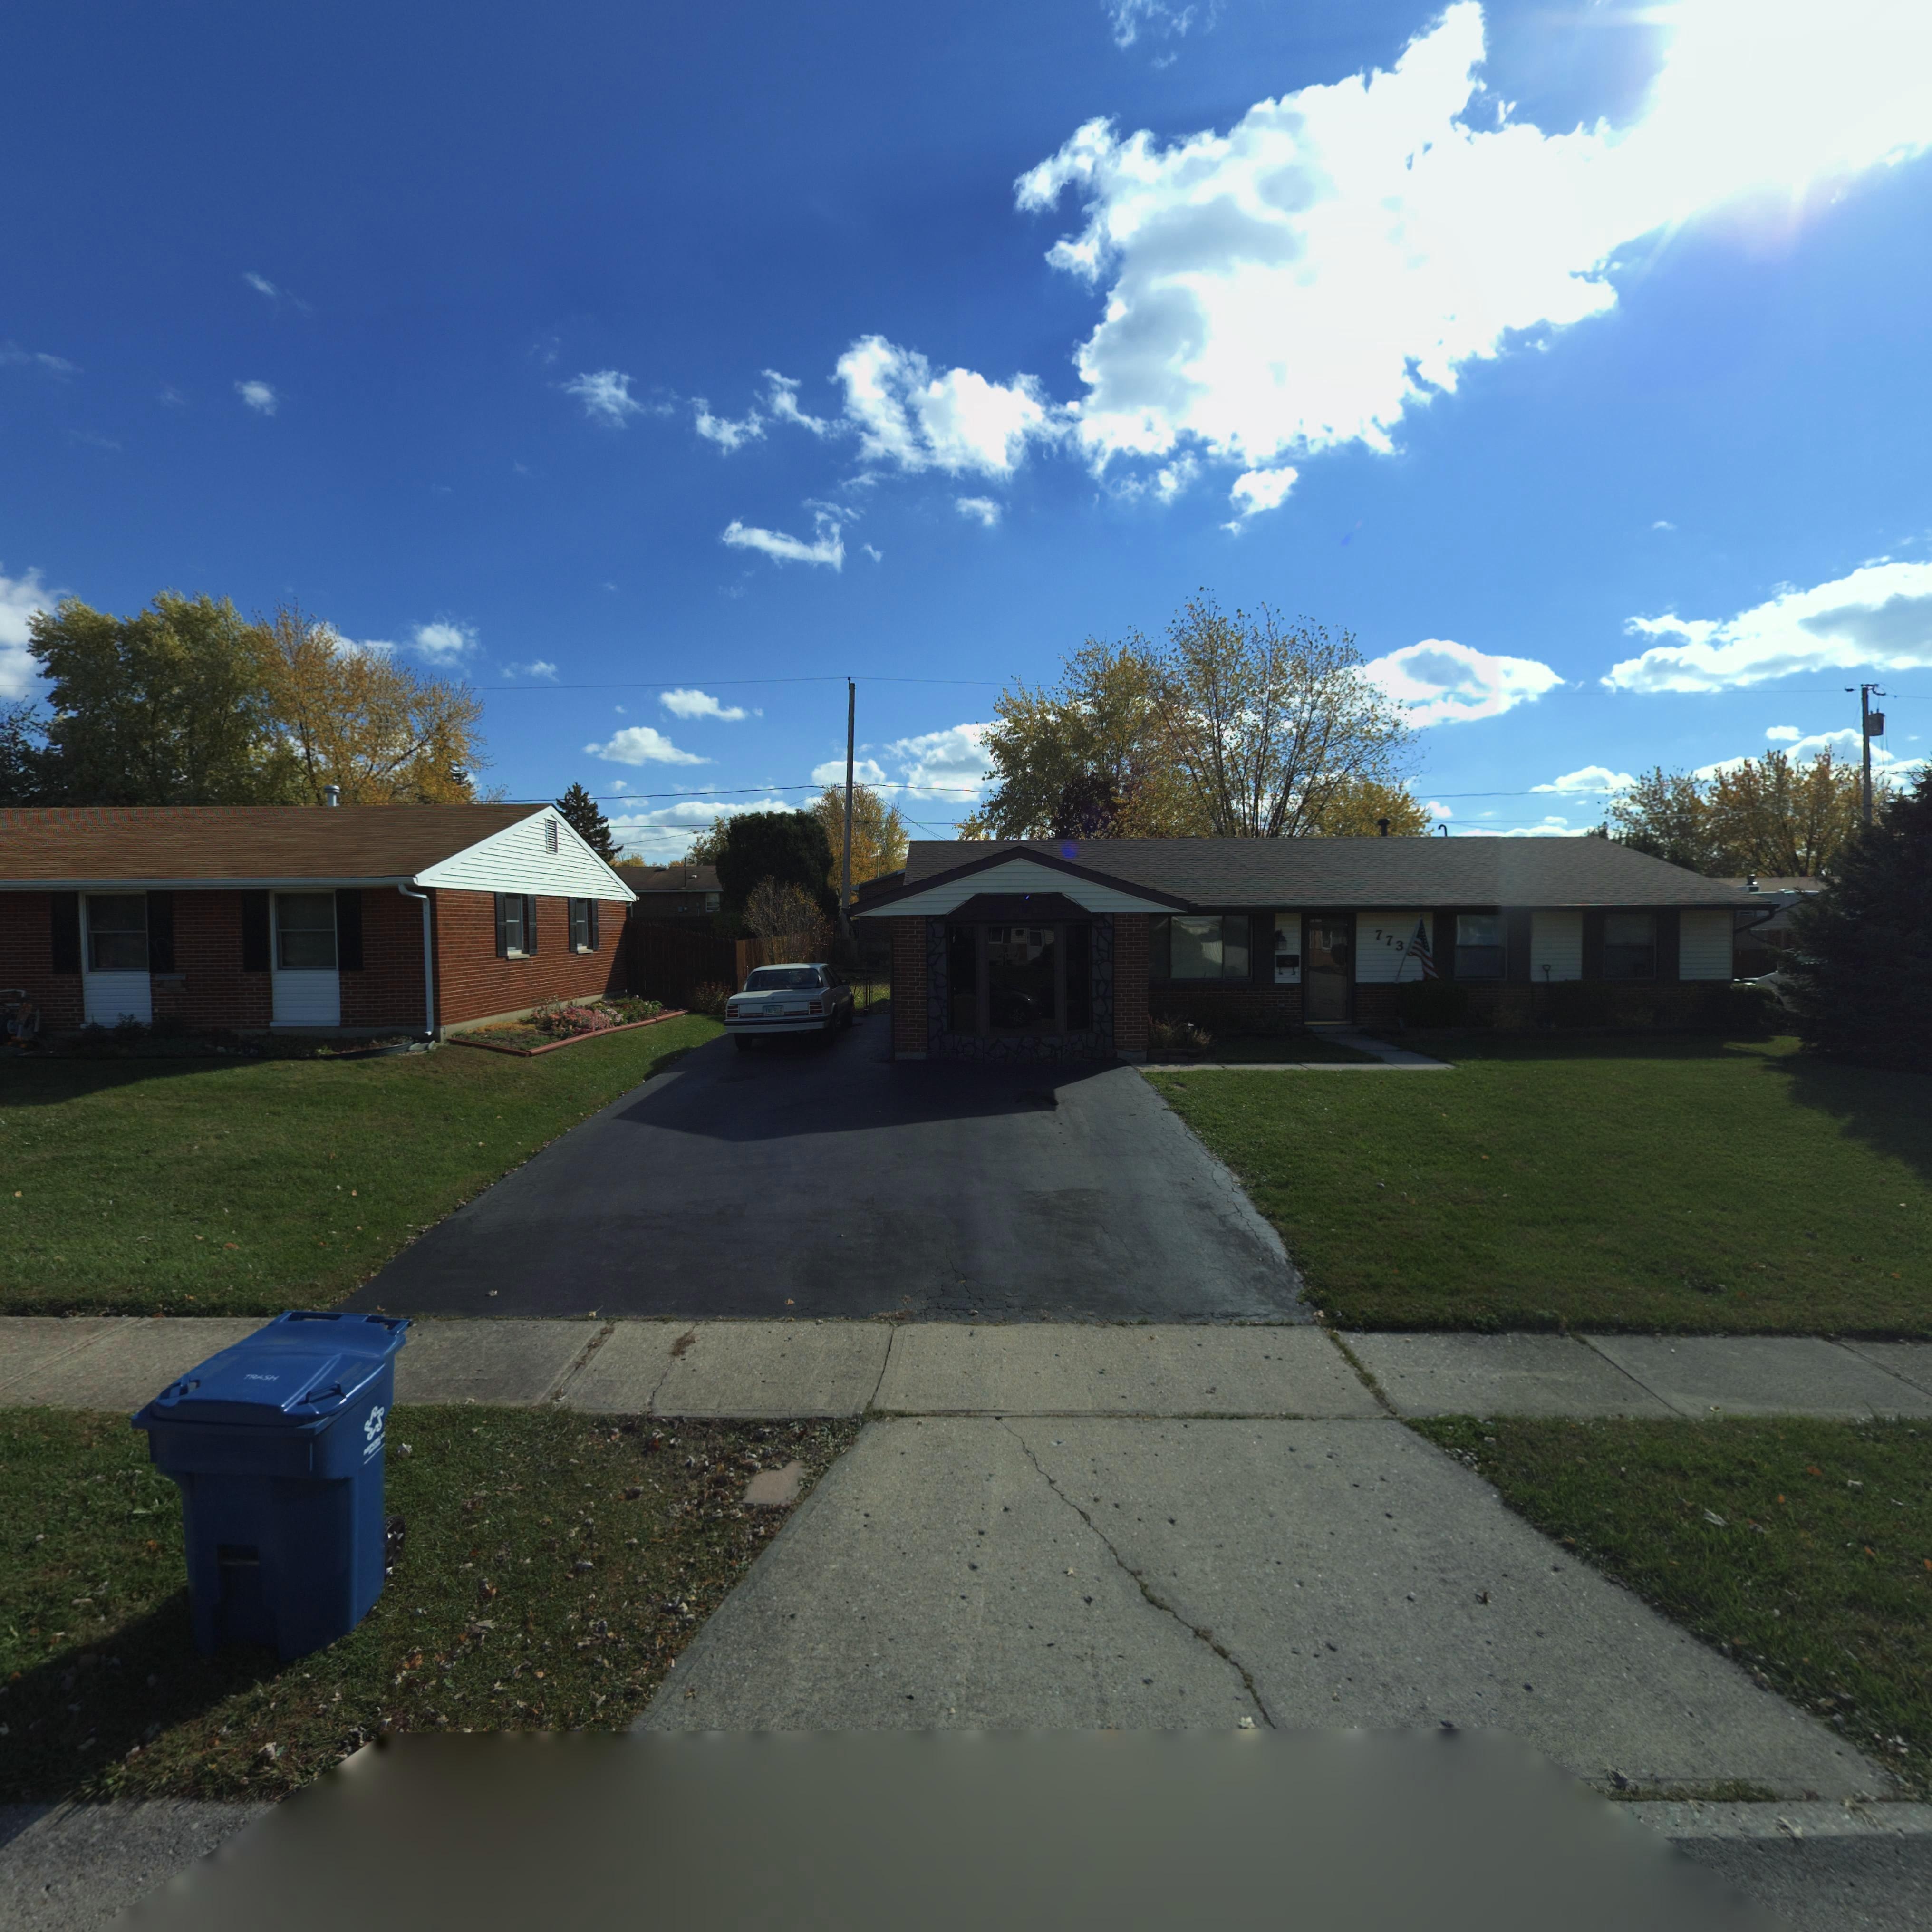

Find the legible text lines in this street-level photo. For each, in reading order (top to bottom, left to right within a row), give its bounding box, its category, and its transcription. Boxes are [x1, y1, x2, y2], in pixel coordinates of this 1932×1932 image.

[1375, 929, 1404, 952] StreetNumber: 773